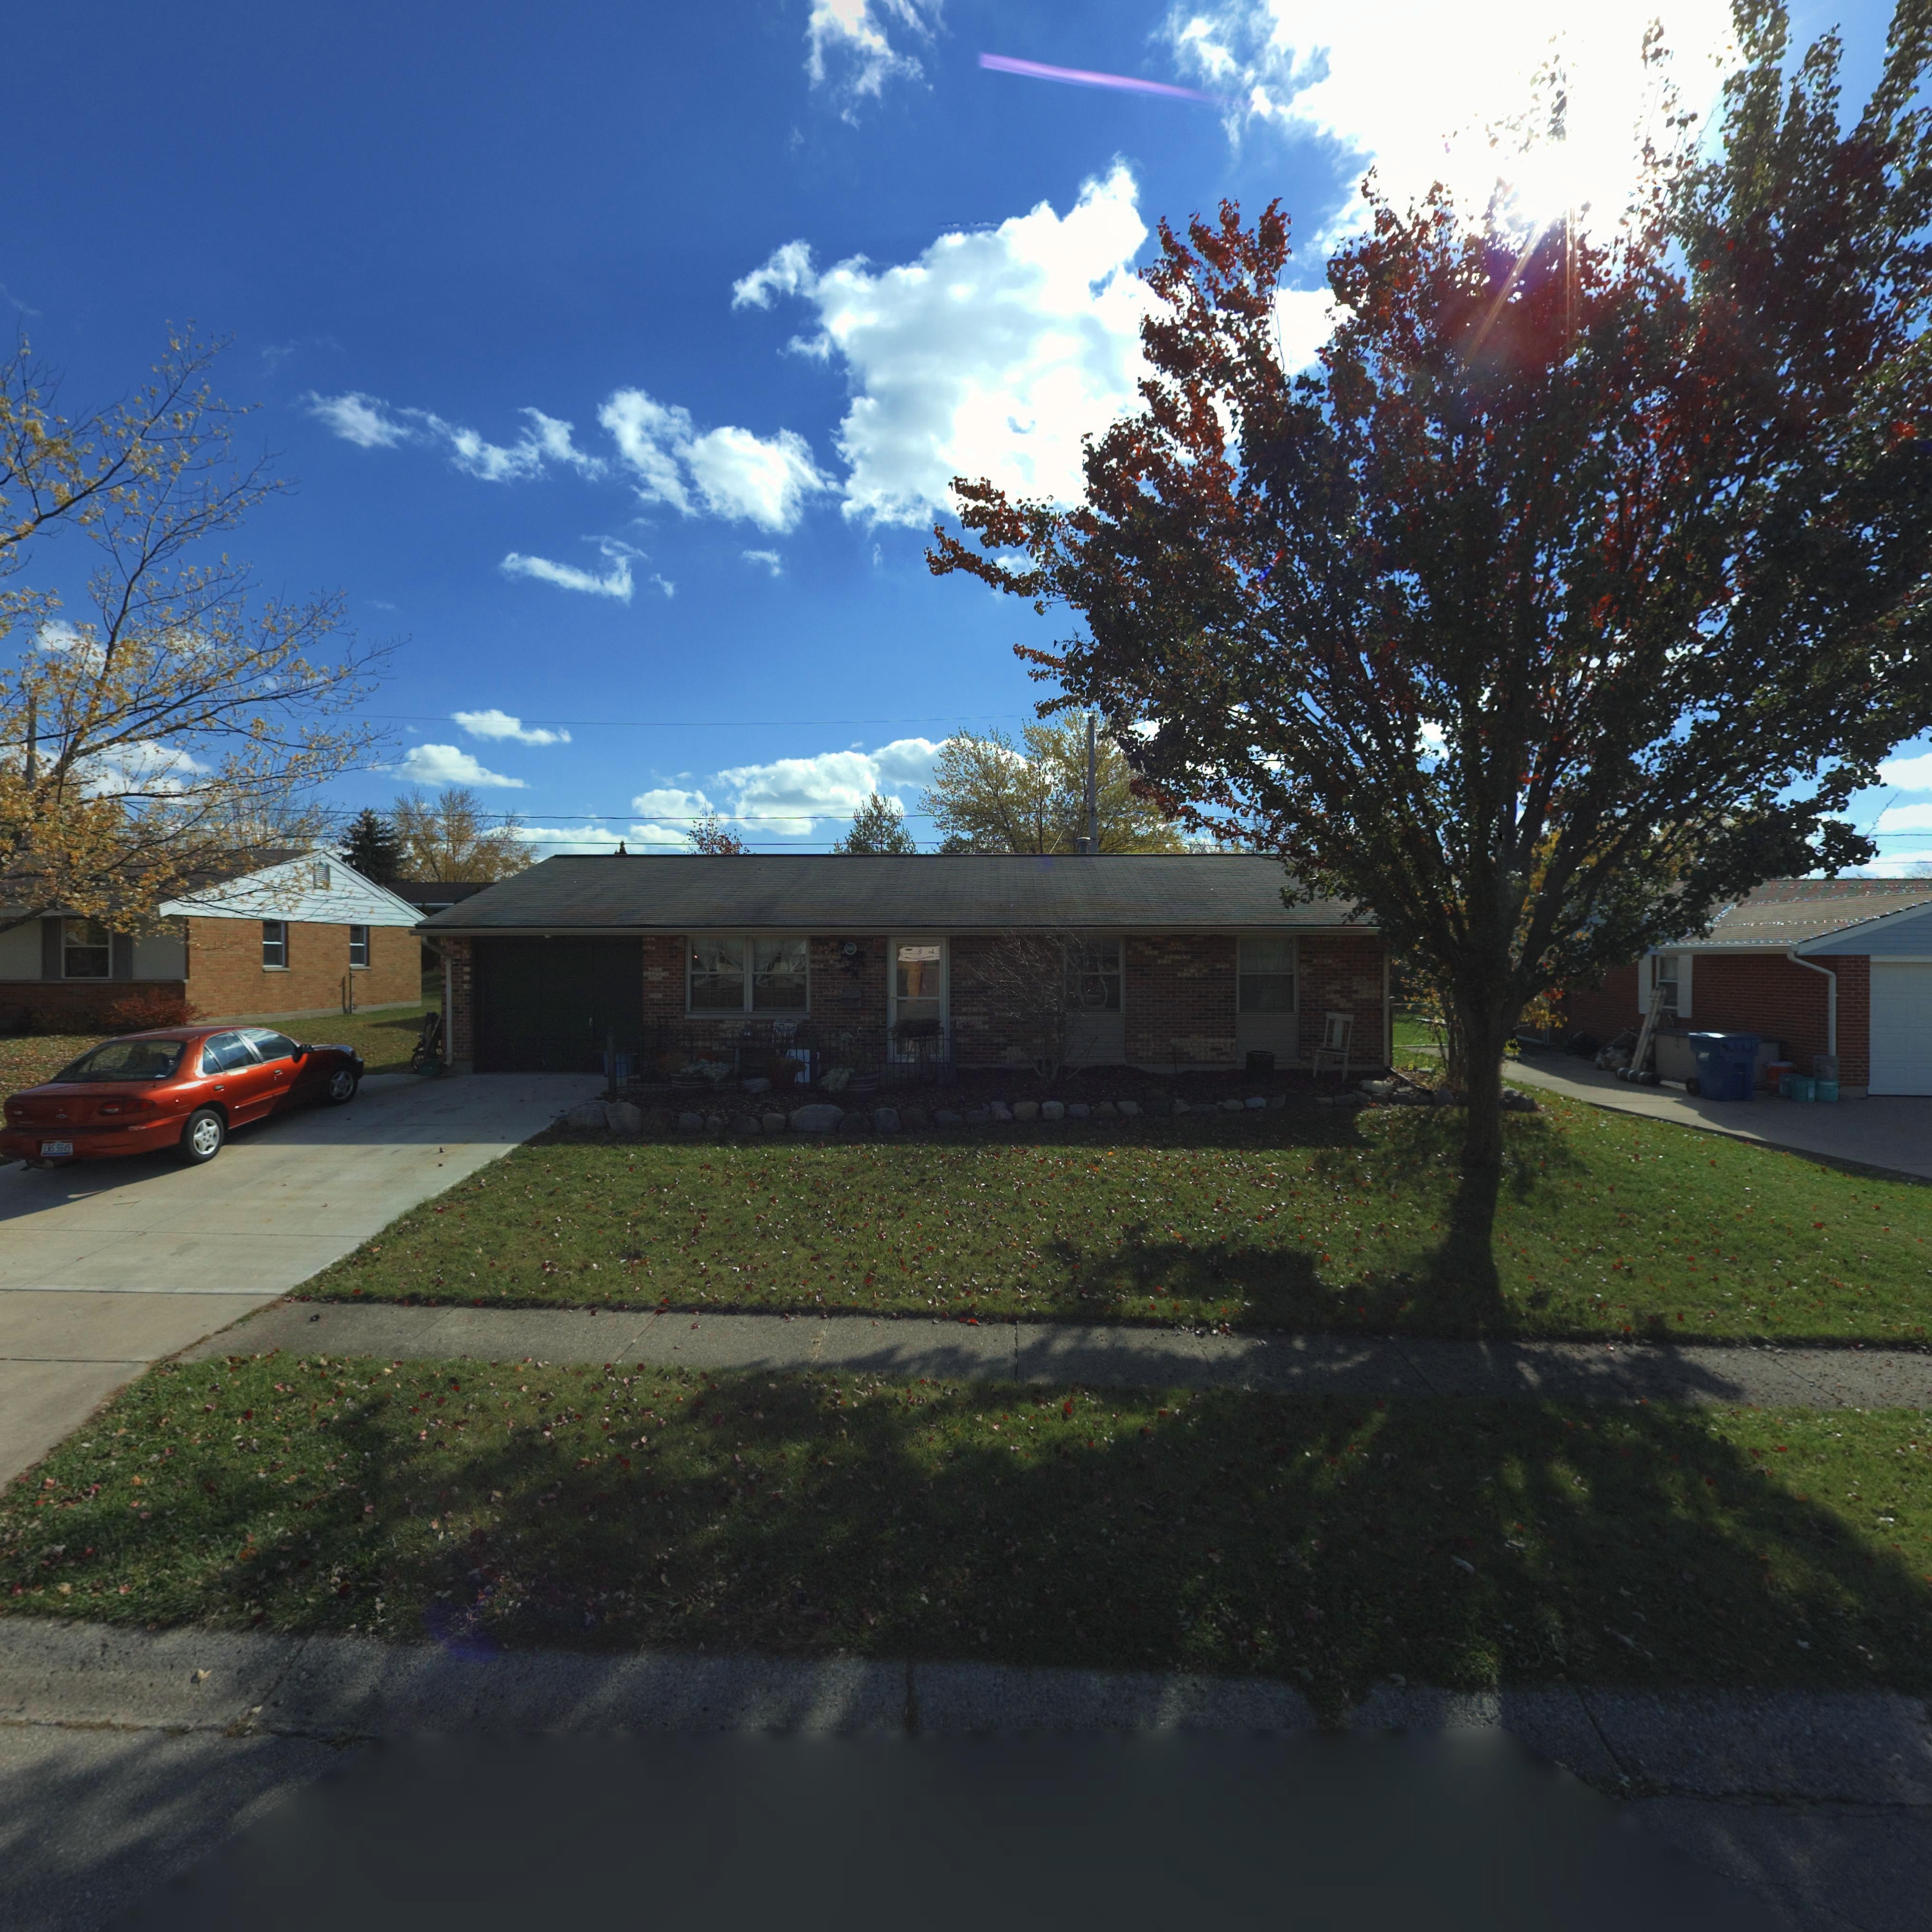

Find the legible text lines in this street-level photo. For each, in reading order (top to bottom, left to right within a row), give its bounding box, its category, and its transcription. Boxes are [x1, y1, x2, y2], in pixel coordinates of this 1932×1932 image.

[845, 945, 856, 951] StreetNumber: 7**2